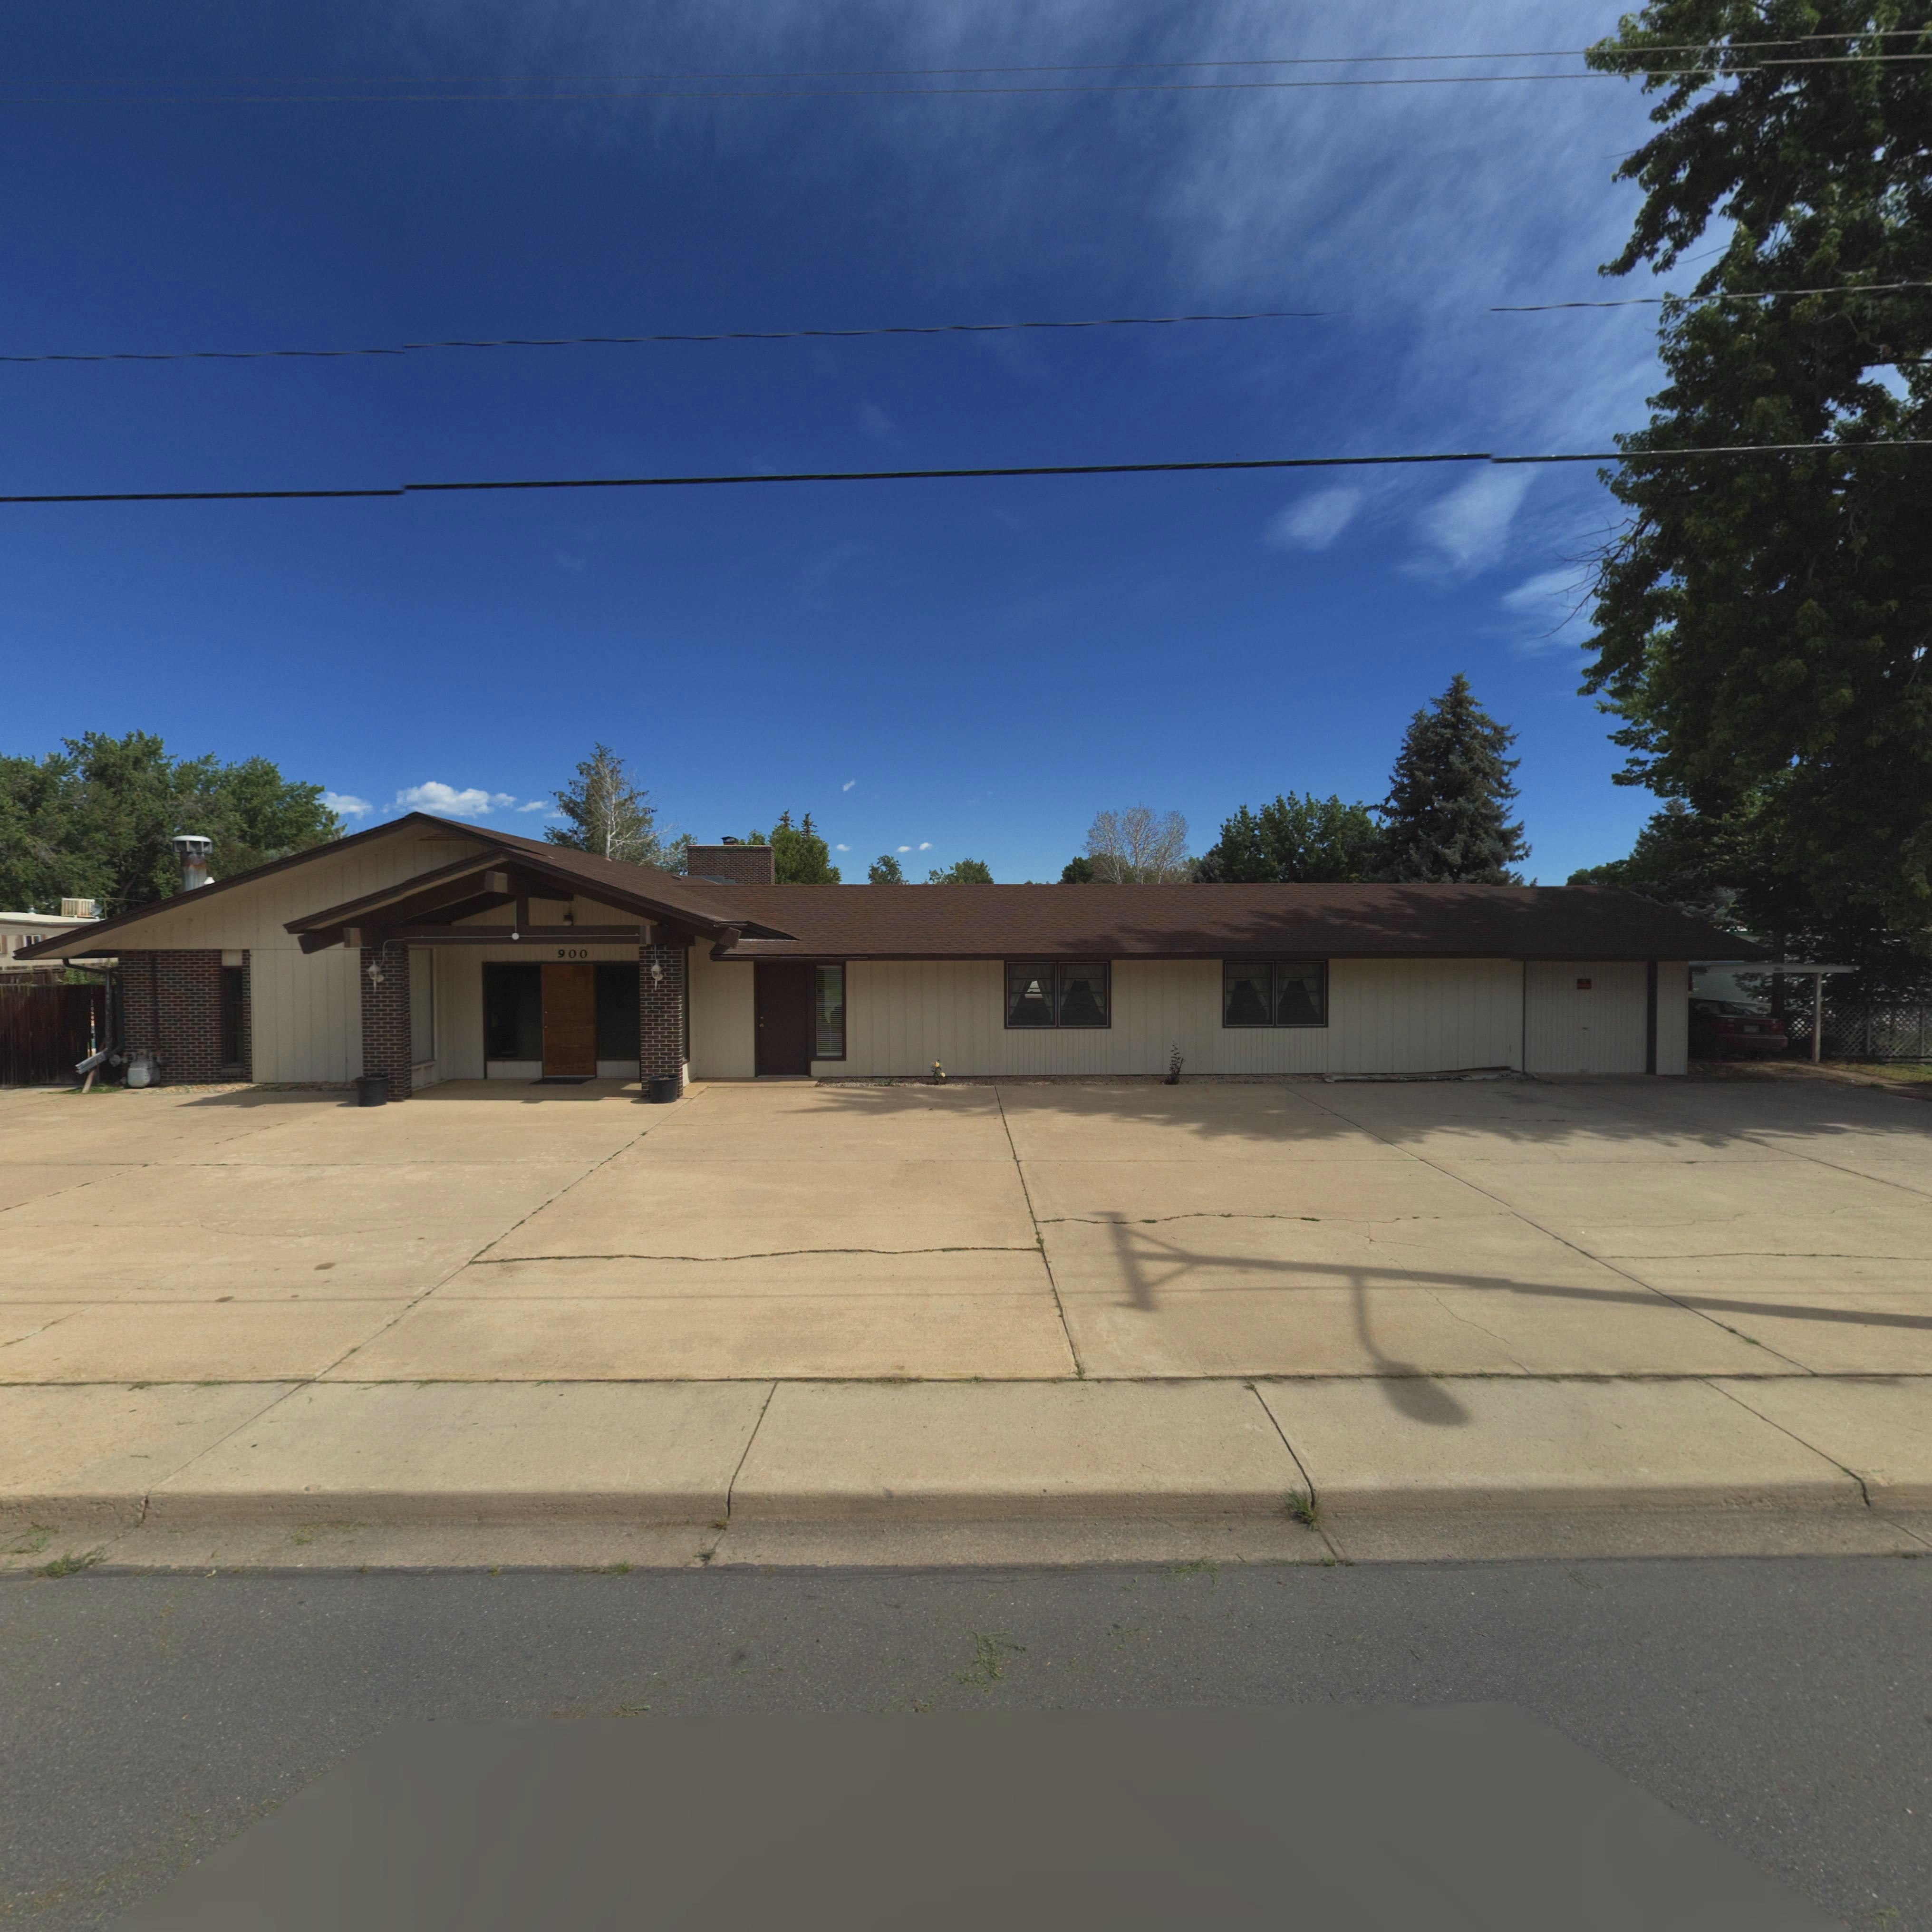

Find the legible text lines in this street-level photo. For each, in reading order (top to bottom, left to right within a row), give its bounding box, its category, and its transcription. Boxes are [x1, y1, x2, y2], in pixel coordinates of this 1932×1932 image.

[557, 948, 588, 959] StreetNumber: 900
[1773, 966, 1783, 971] StreetNumber: *0*